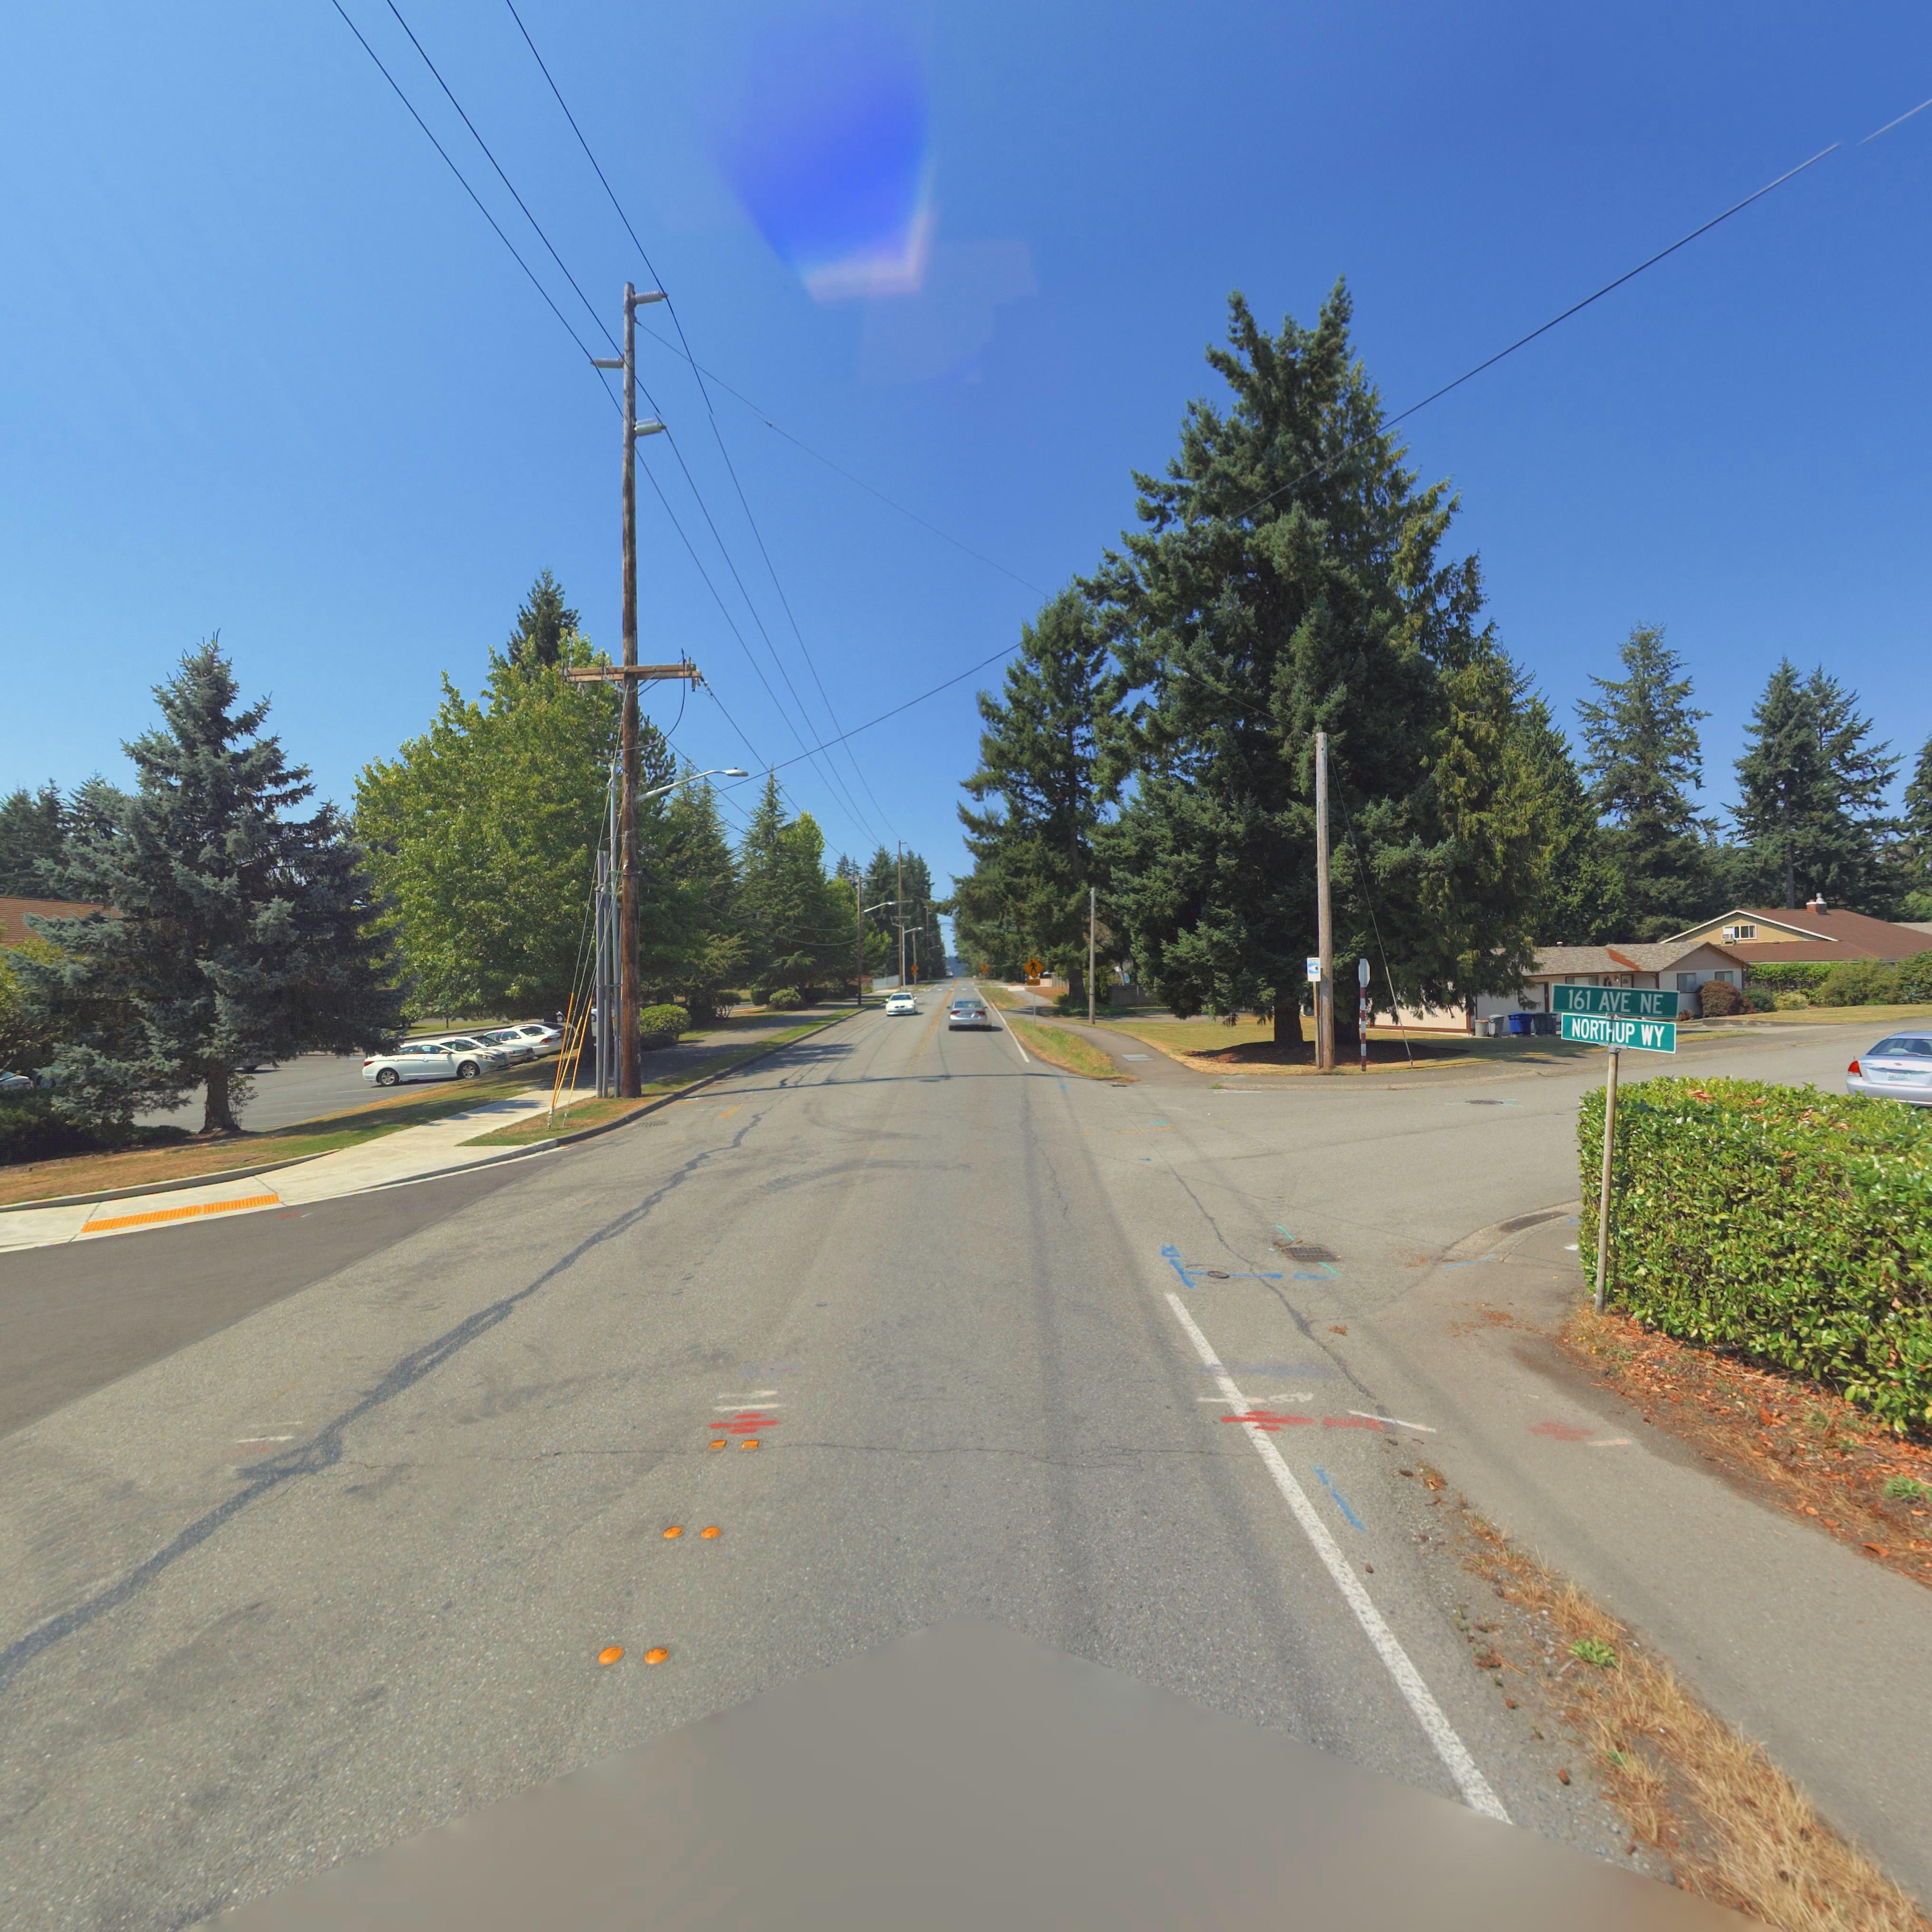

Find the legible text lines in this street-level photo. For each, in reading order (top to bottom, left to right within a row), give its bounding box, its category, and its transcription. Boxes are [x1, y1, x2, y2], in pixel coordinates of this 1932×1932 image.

[1567, 988, 1665, 1014] StreetName: 161 AVE NE
[1571, 1016, 1666, 1048] StreetName: NORTHUP WY